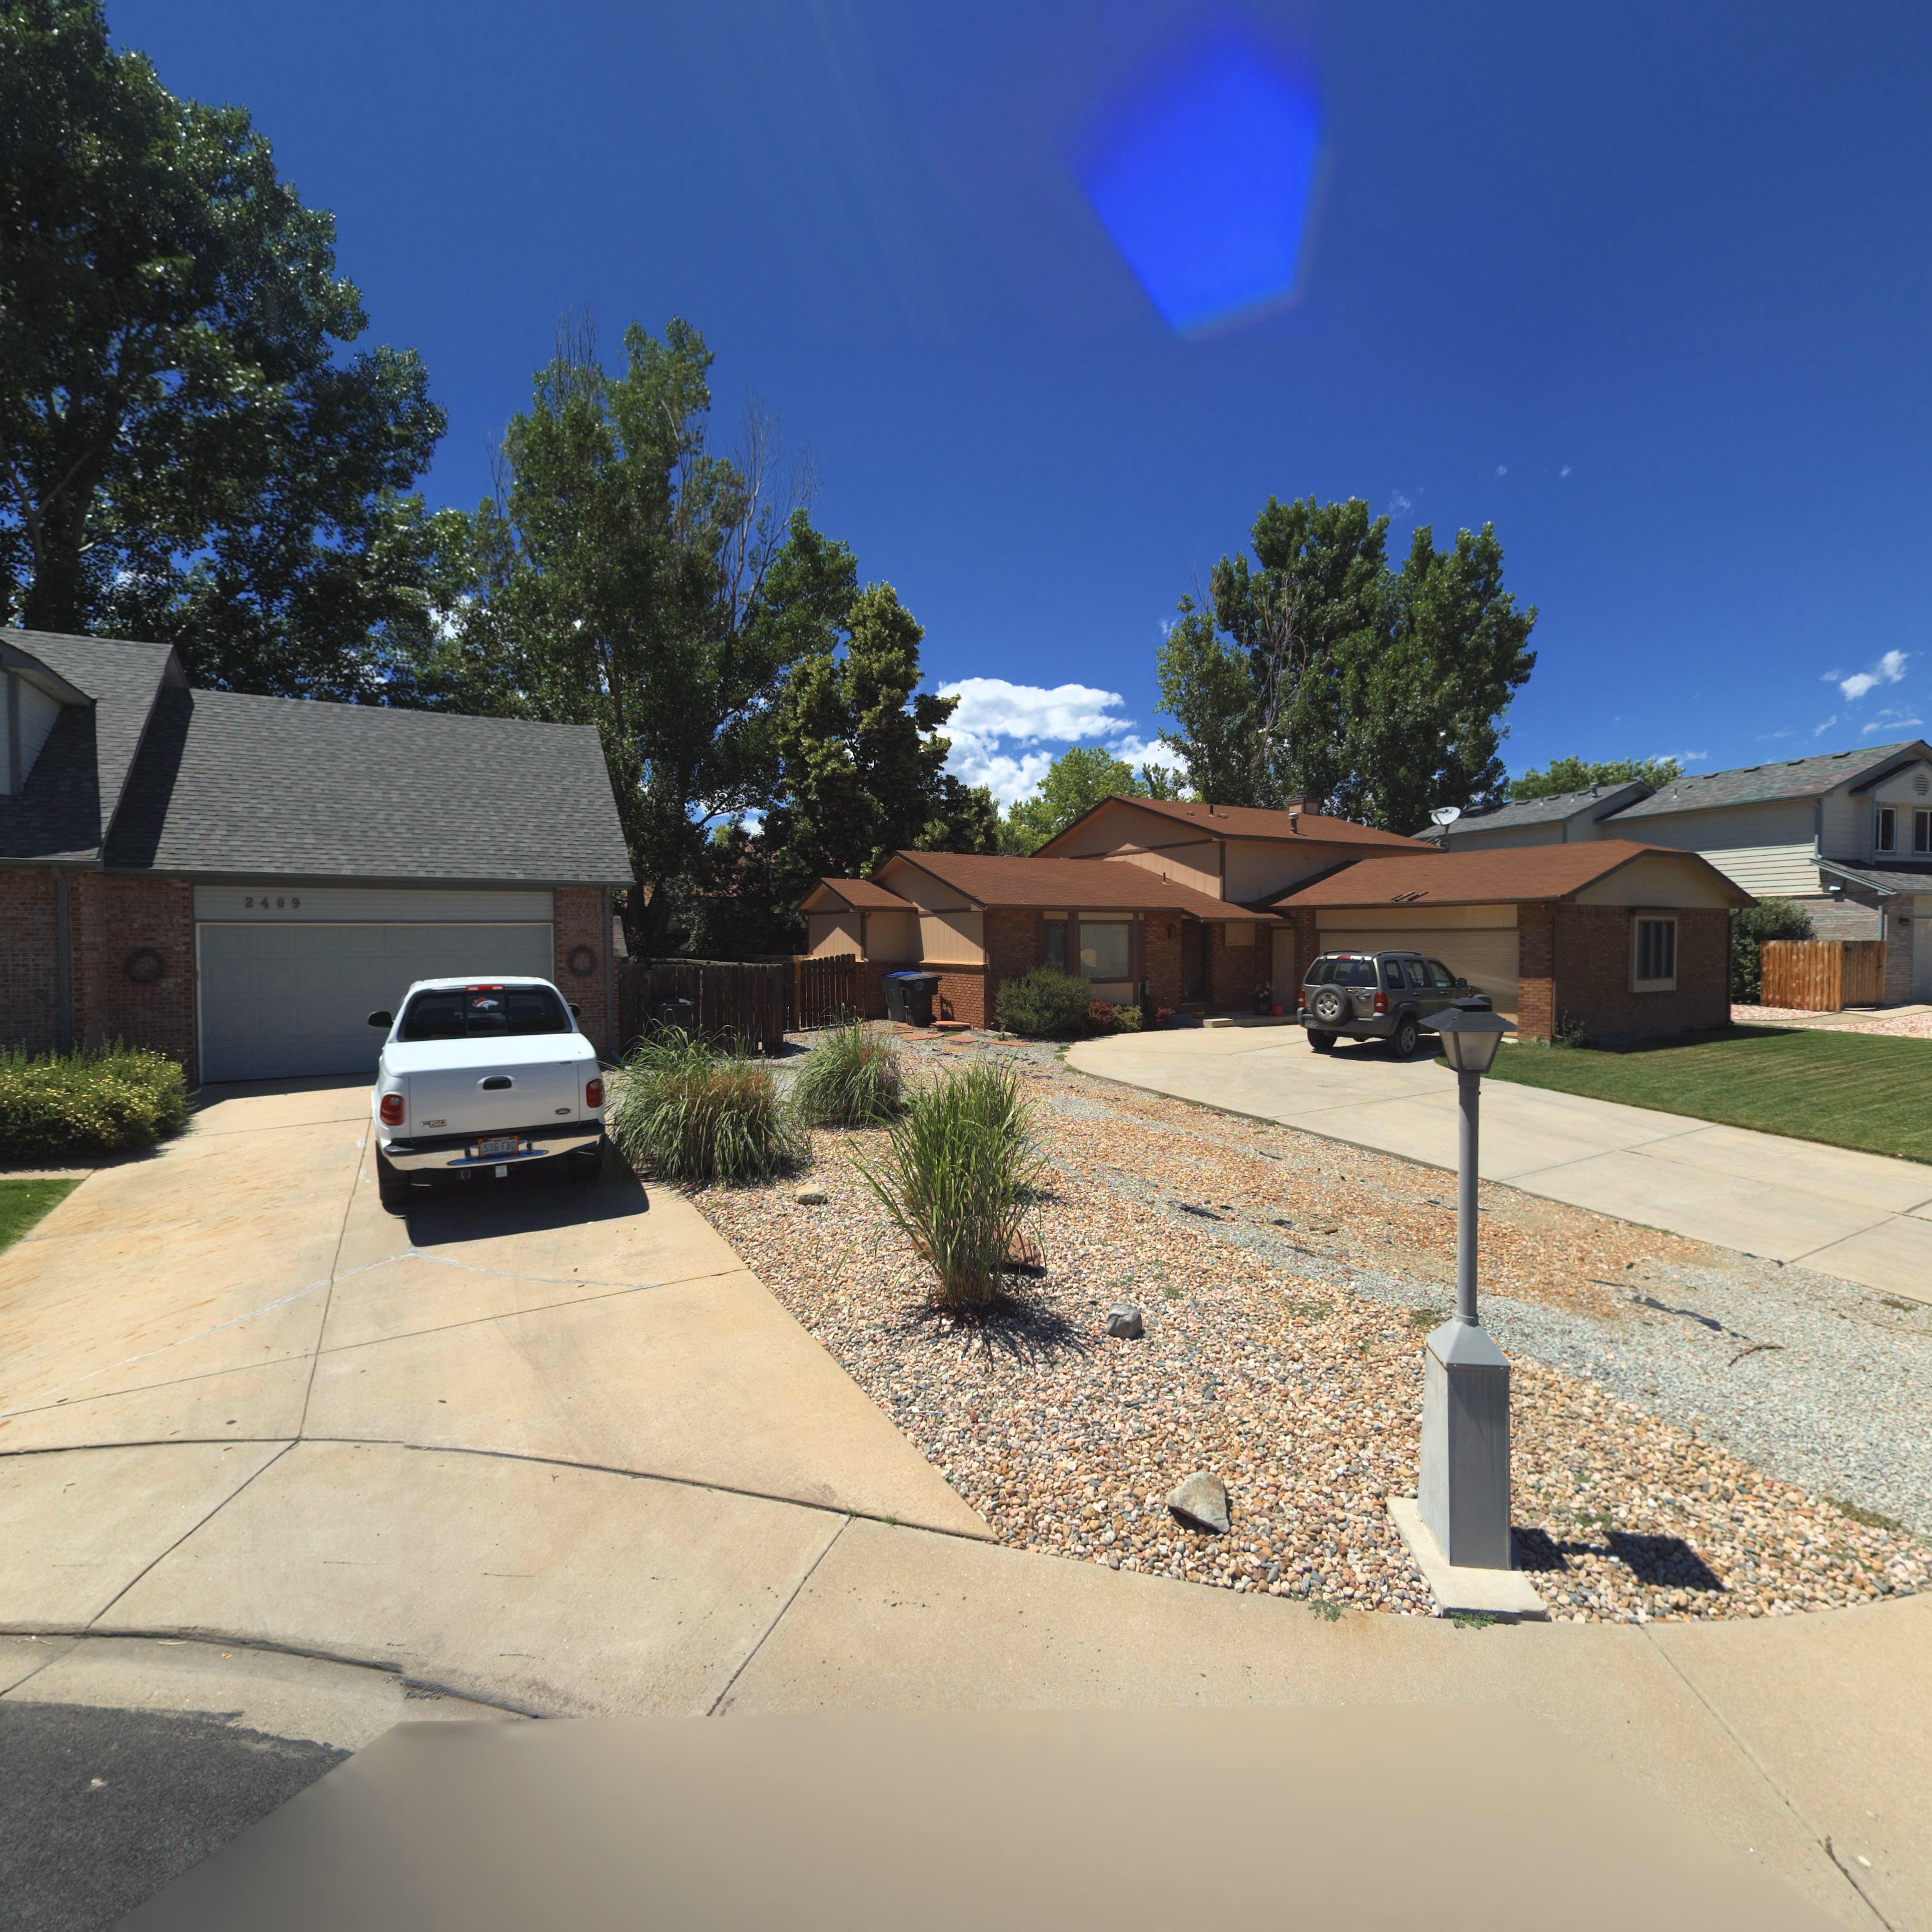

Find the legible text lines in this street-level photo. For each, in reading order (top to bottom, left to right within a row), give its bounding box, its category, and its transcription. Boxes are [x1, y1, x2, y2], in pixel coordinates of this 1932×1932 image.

[244, 896, 299, 908] StreetNumber: 2409
[1228, 940, 1236, 945] StreetNumber: 2417